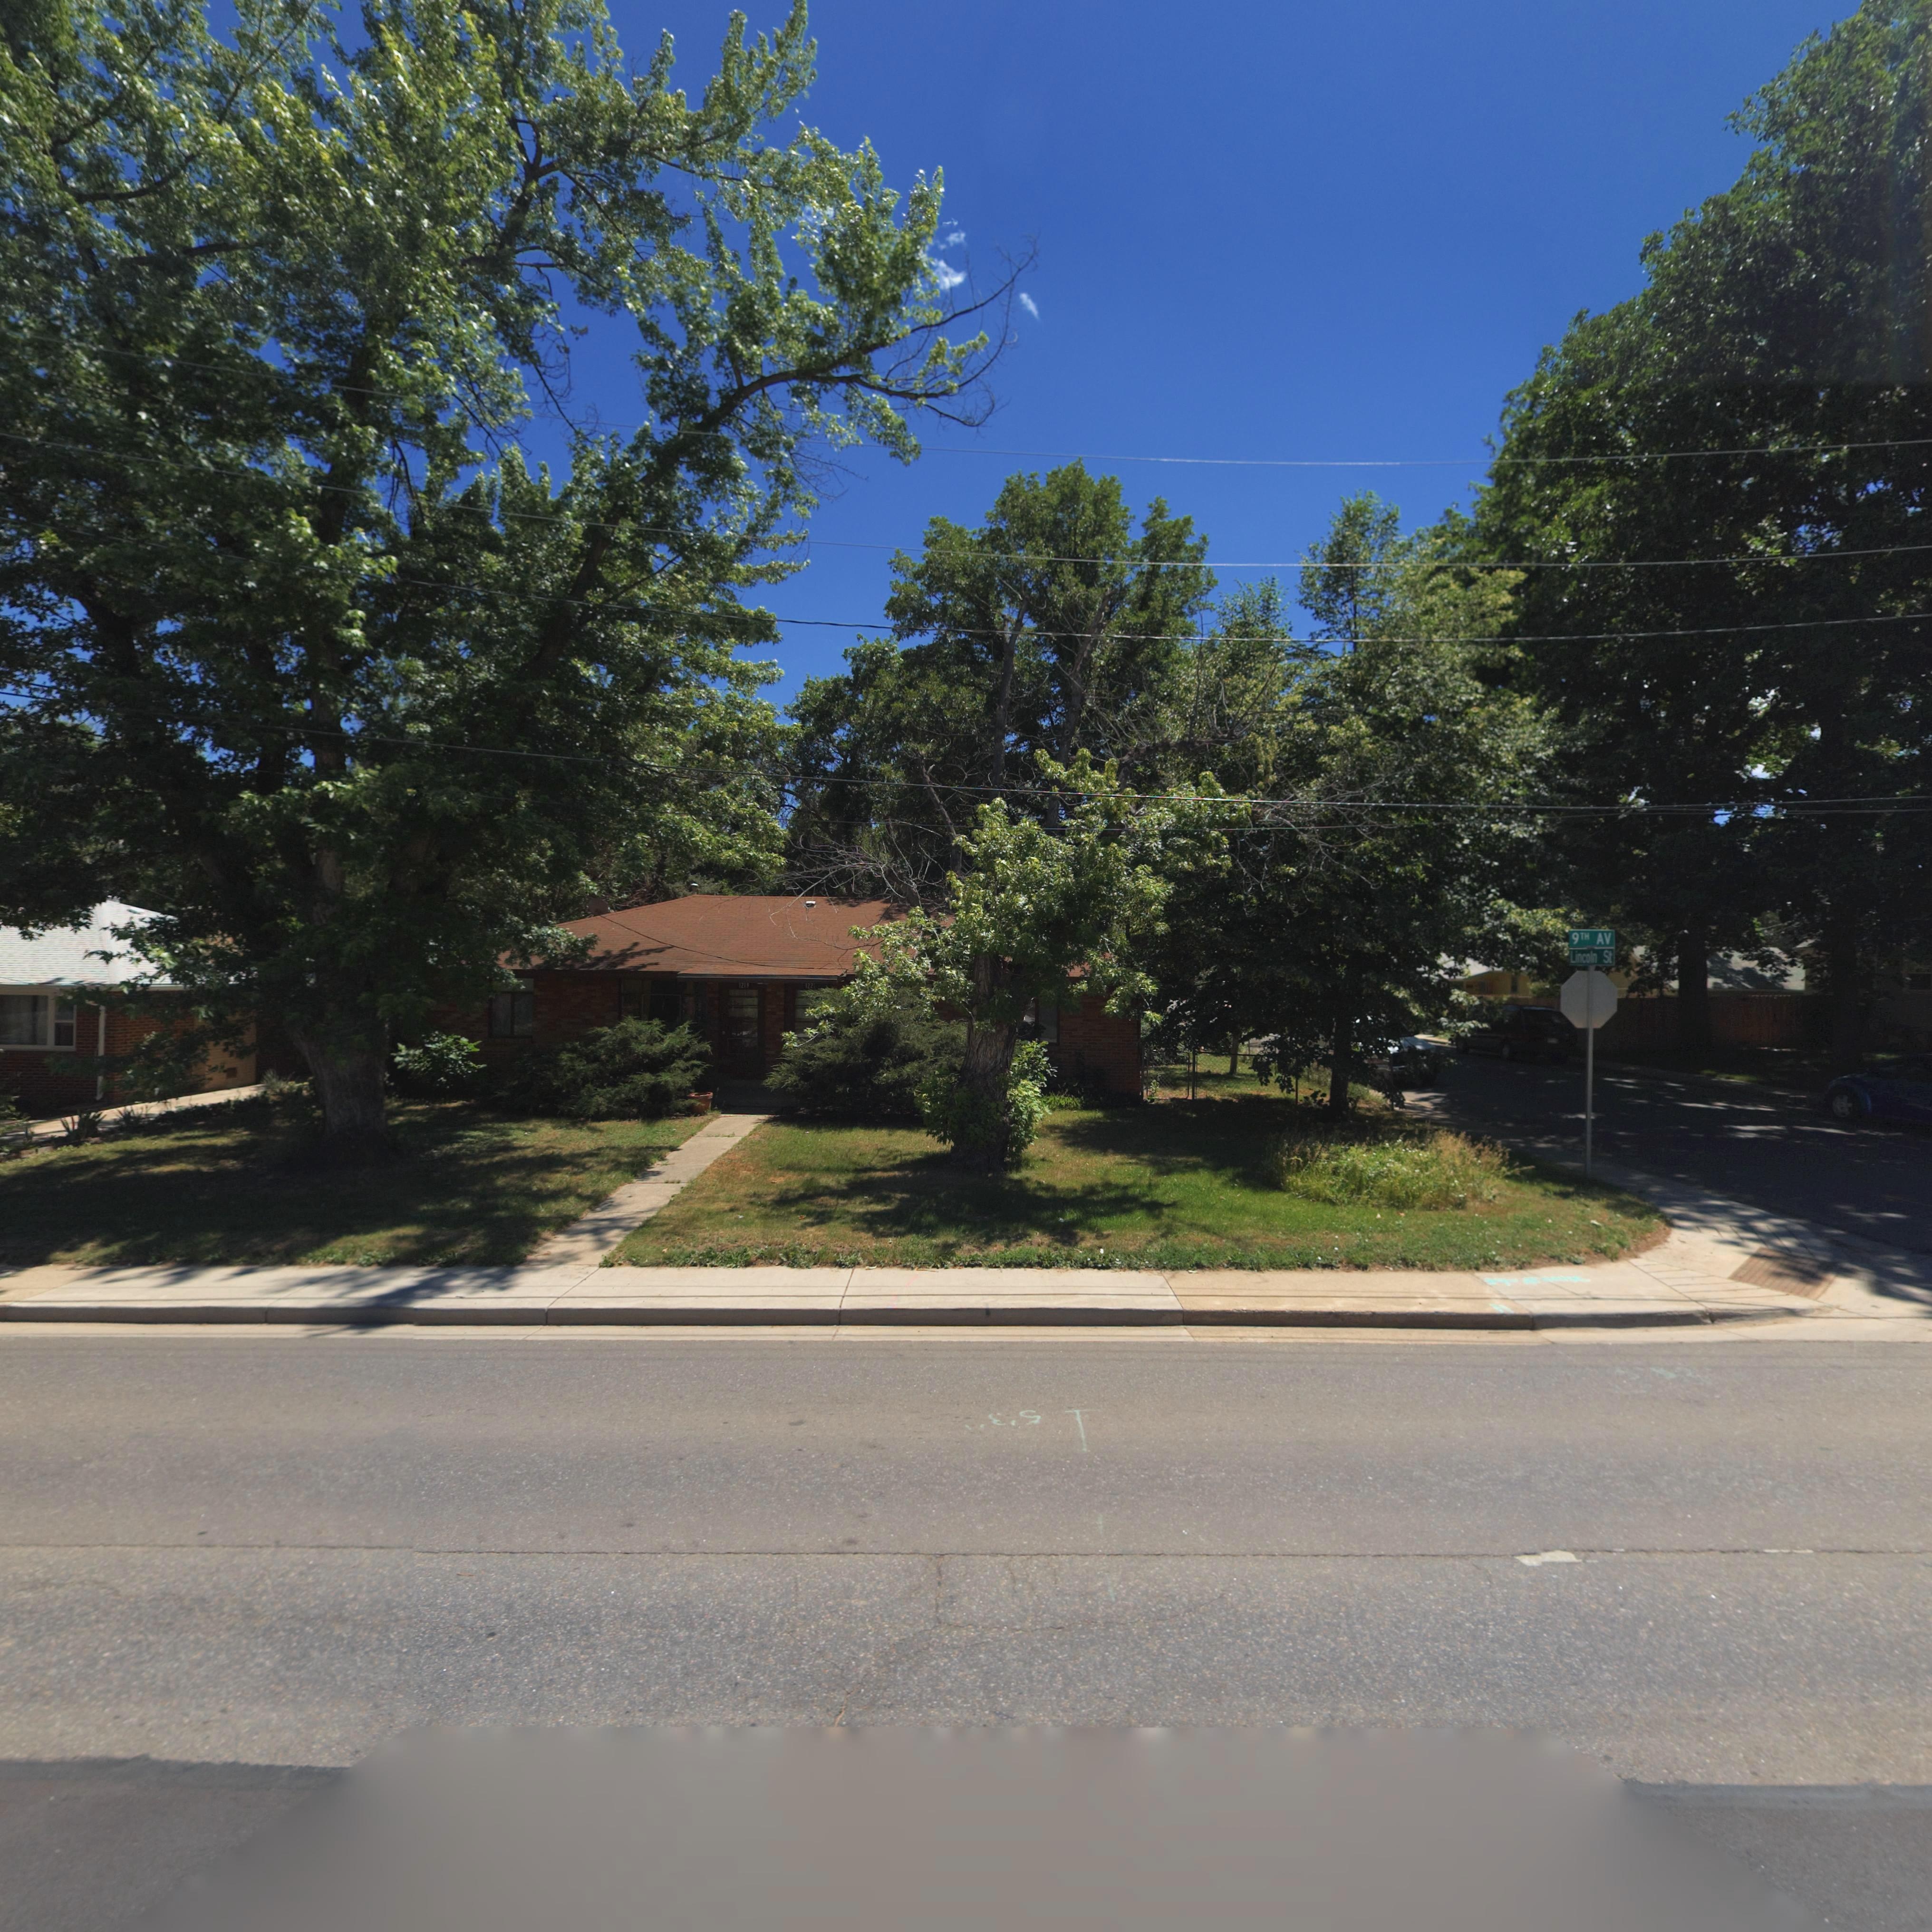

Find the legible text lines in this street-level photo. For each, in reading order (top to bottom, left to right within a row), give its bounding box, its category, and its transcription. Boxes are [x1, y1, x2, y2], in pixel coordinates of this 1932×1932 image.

[1571, 932, 1612, 945] StreetName: 9TH AV
[1570, 950, 1613, 964] StreetName: Lincoln St
[738, 982, 749, 988] StreetNumber: 1219
[805, 982, 815, 989] StreetNumber: 1221